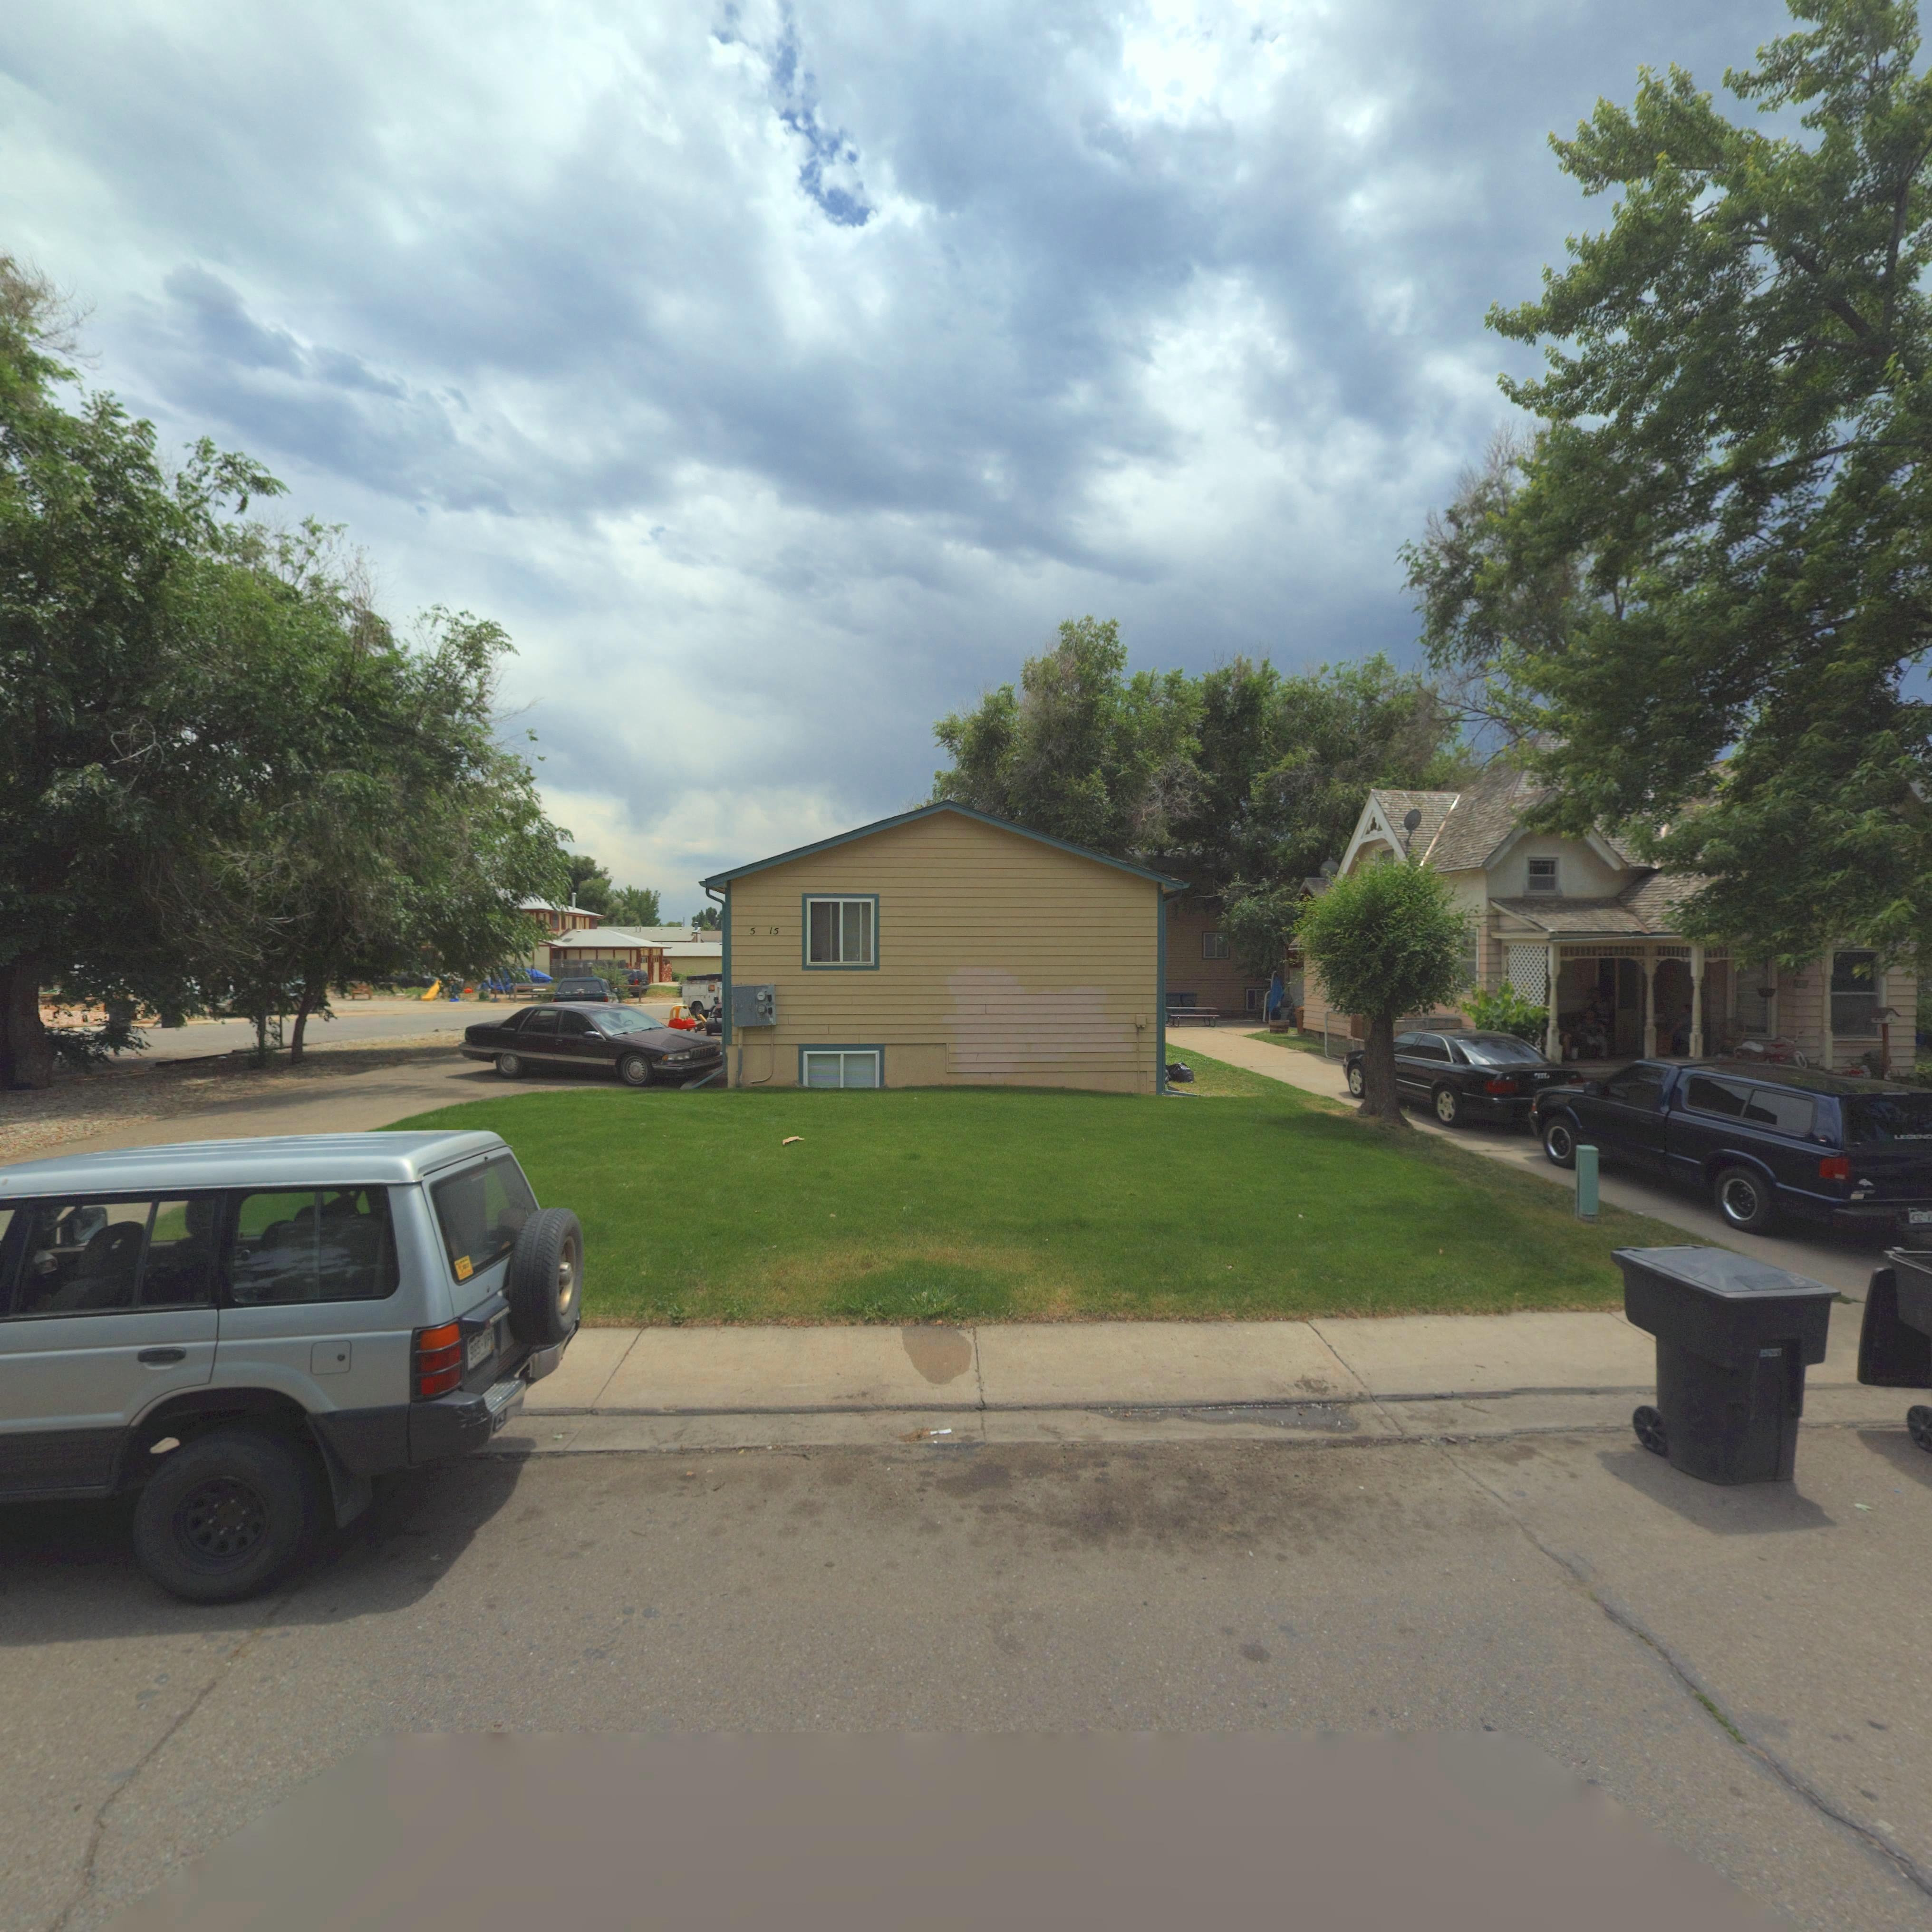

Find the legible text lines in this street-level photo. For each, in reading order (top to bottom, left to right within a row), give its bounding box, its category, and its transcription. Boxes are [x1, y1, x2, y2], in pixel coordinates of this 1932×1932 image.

[749, 926, 779, 935] StreetNumber: 5 15